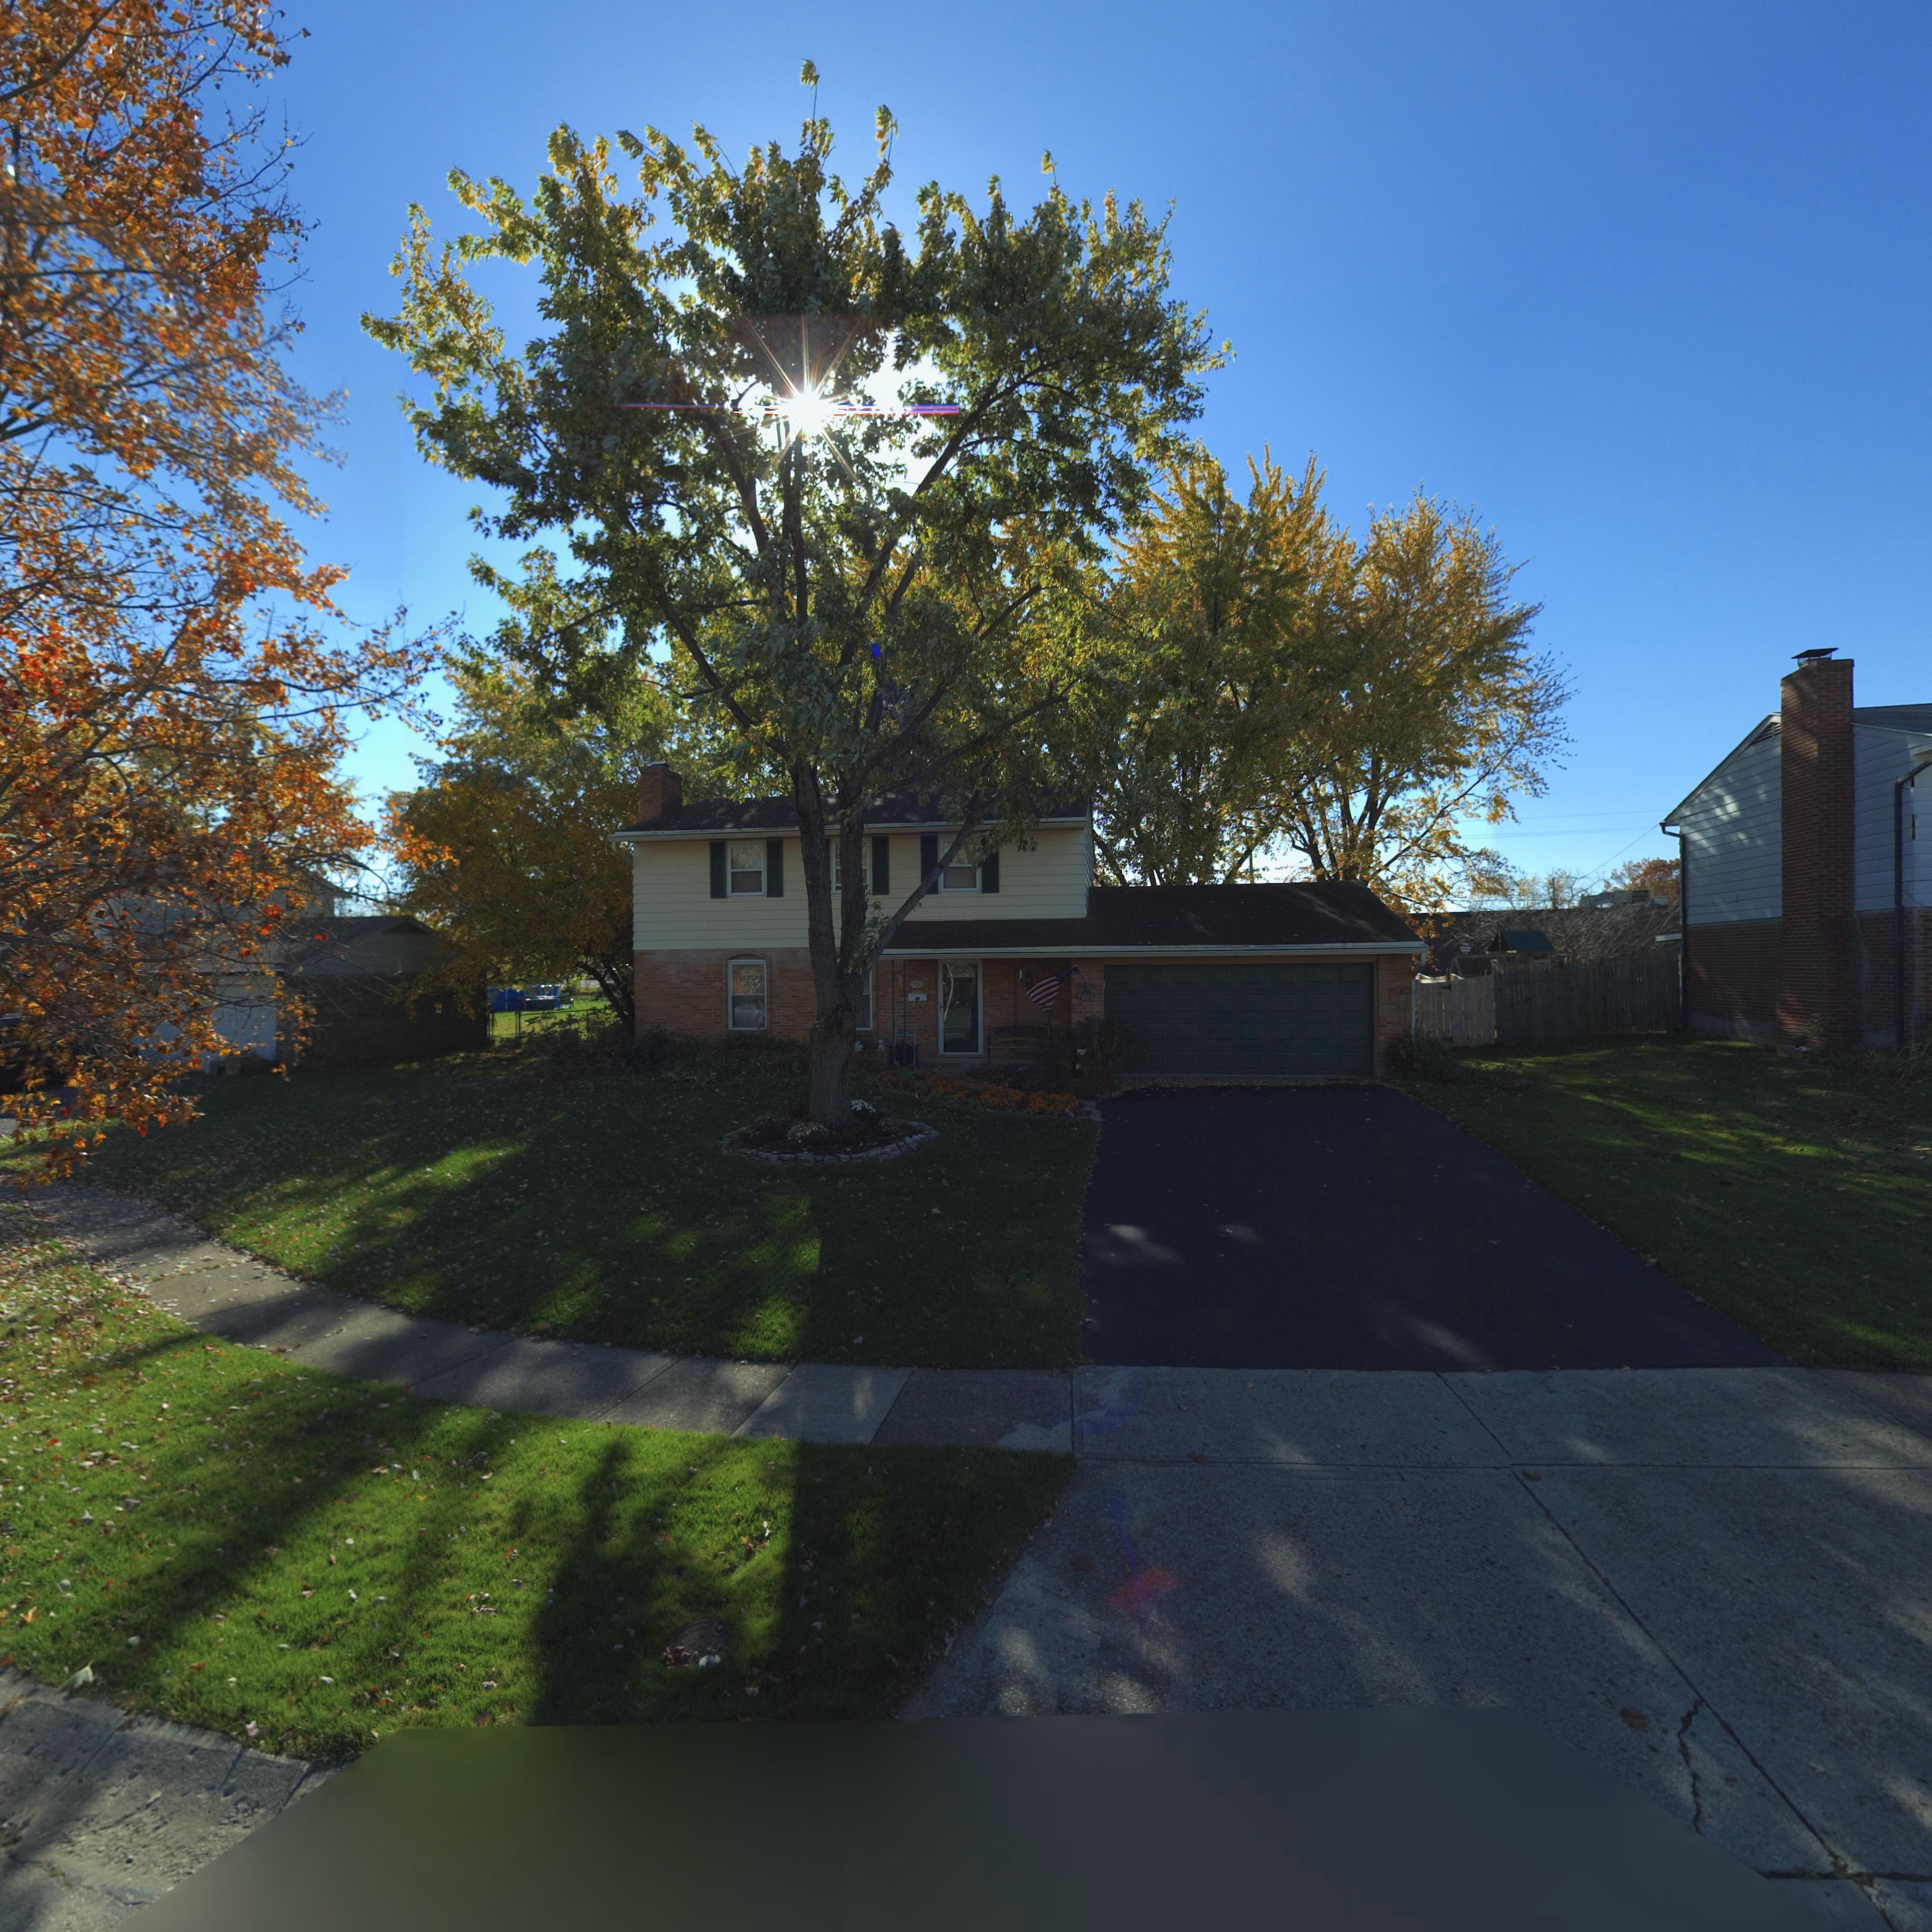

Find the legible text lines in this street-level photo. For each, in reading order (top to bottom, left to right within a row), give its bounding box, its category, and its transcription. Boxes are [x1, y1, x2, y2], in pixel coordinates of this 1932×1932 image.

[912, 982, 923, 987] StreetNumber: 7020